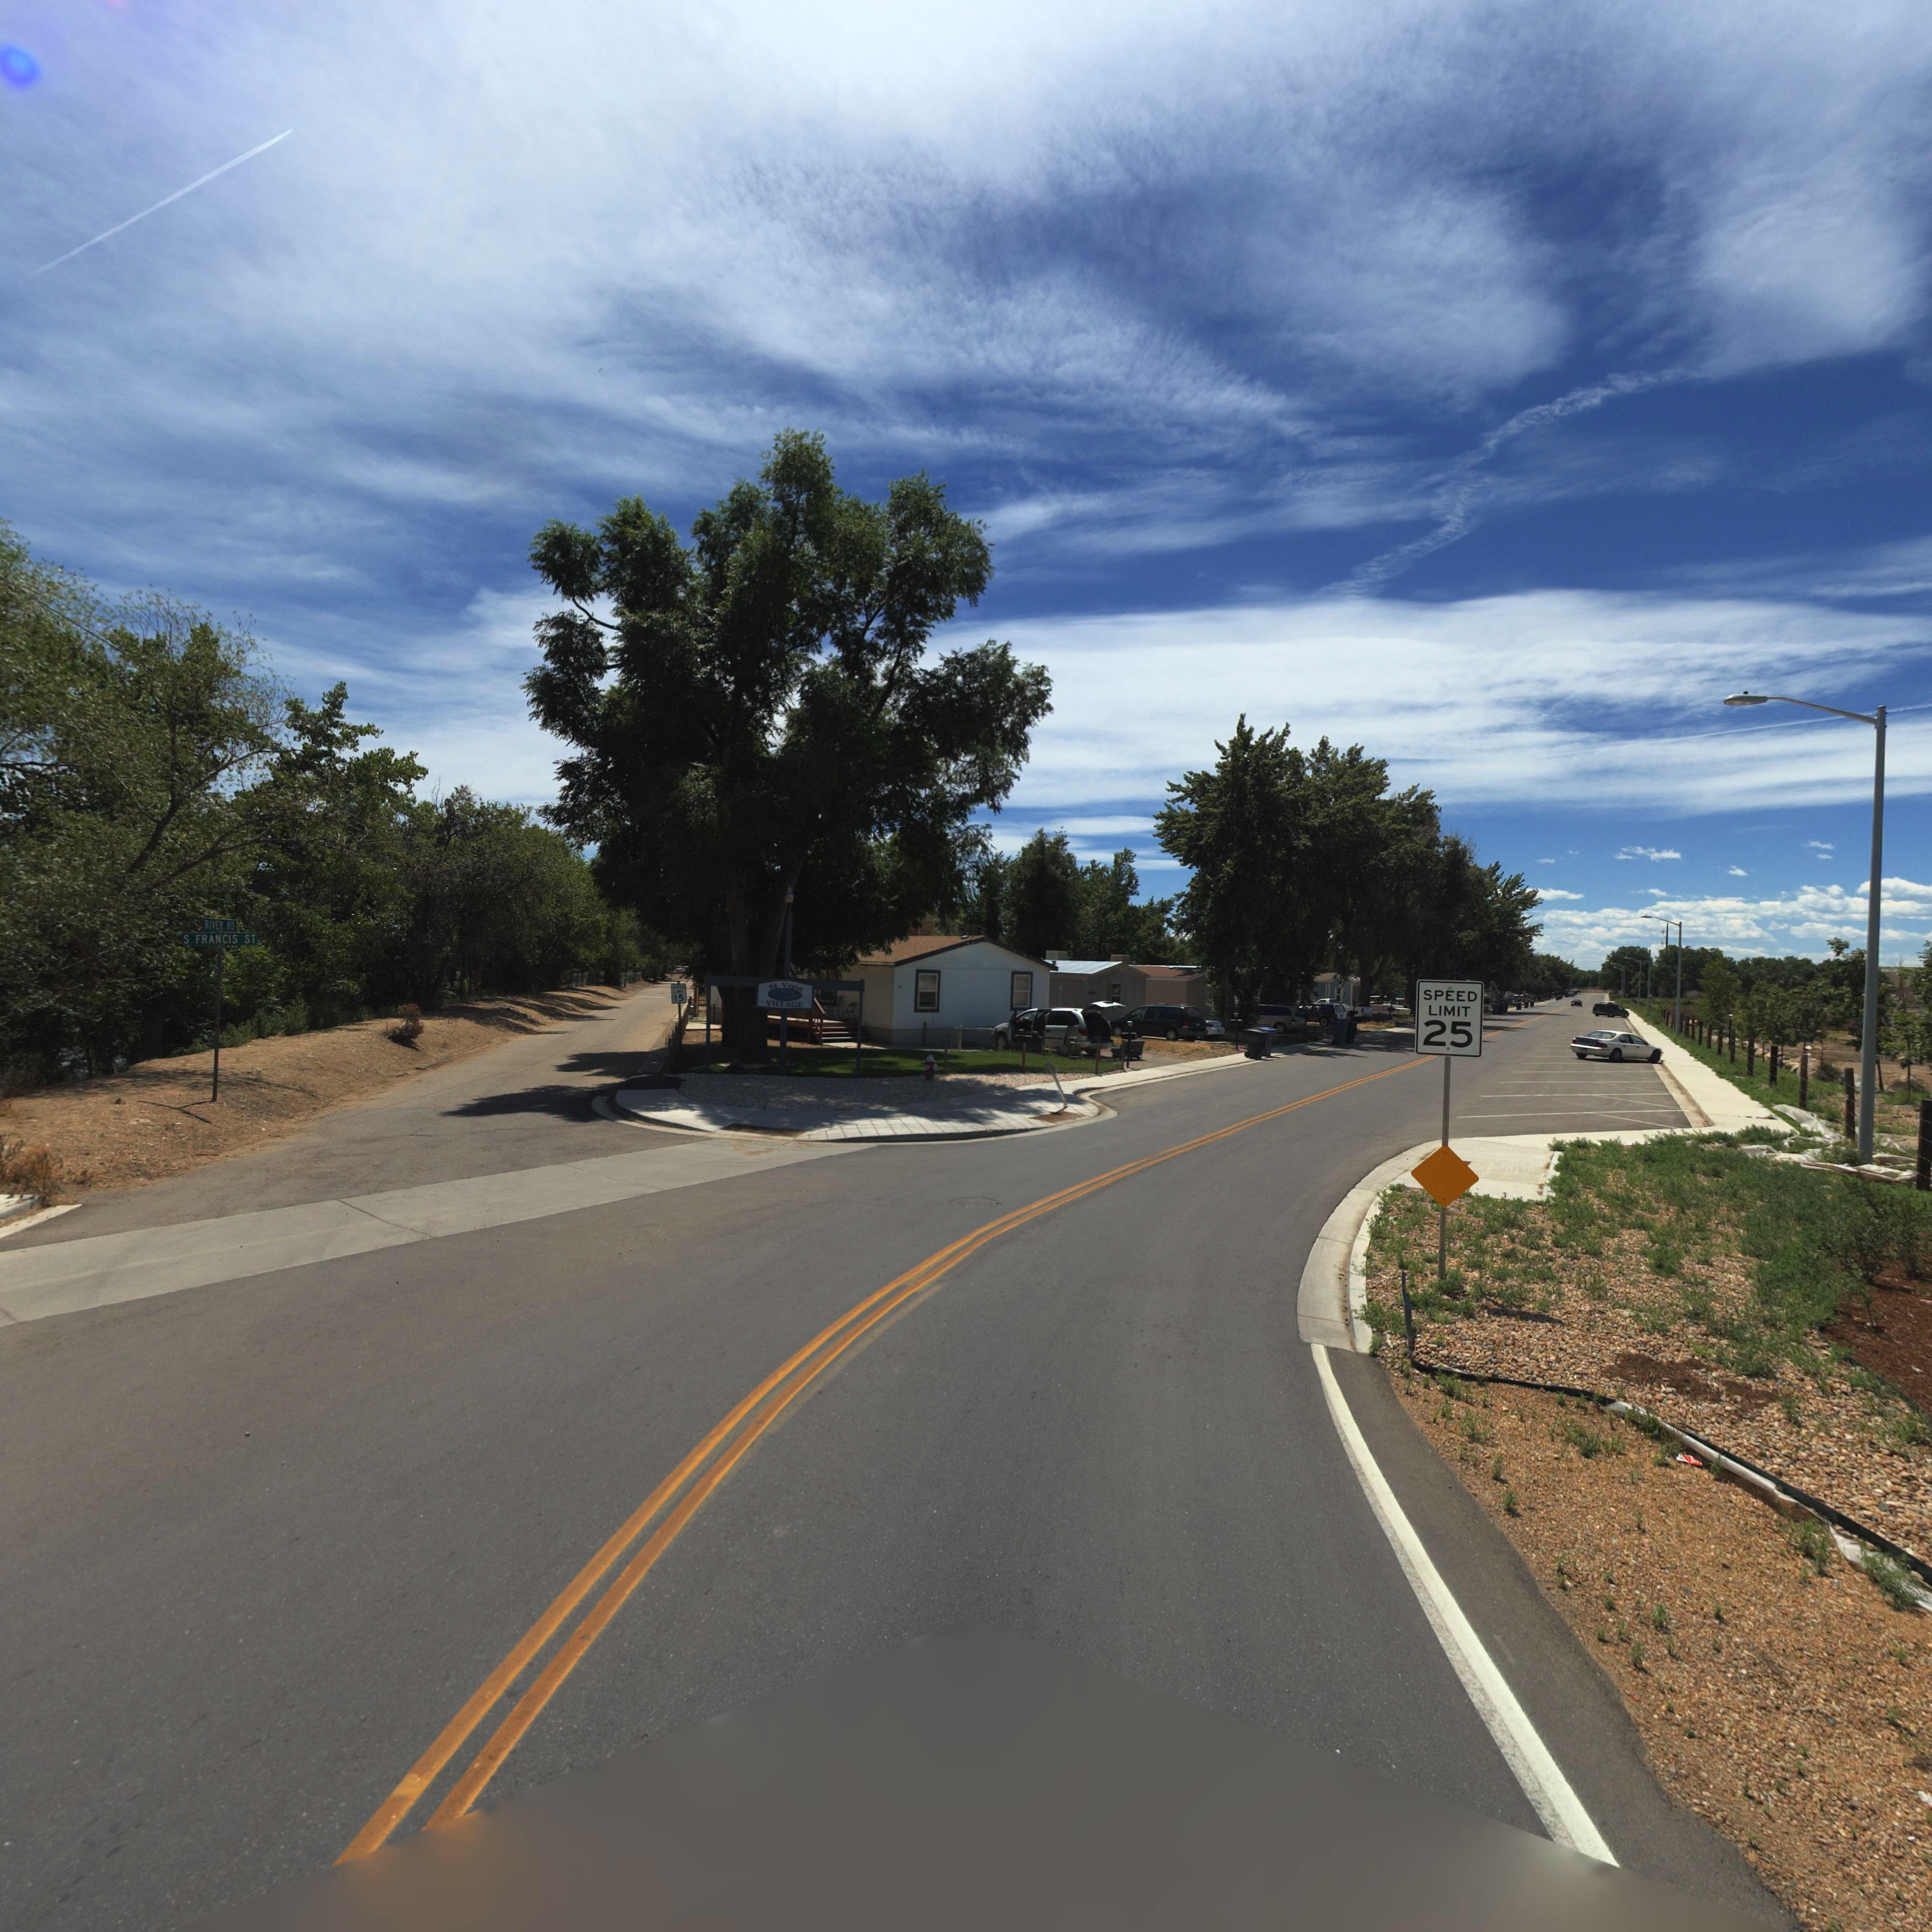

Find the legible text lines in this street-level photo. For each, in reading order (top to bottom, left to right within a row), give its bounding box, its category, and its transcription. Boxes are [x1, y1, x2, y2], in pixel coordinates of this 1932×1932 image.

[203, 918, 235, 932] StreetName: RIVER RD
[183, 934, 256, 945] StreetName: S FRANCIS ST
[767, 982, 803, 992] BusinessName: St. Vrain
[764, 999, 803, 1008] BusinessName: VILLAGE